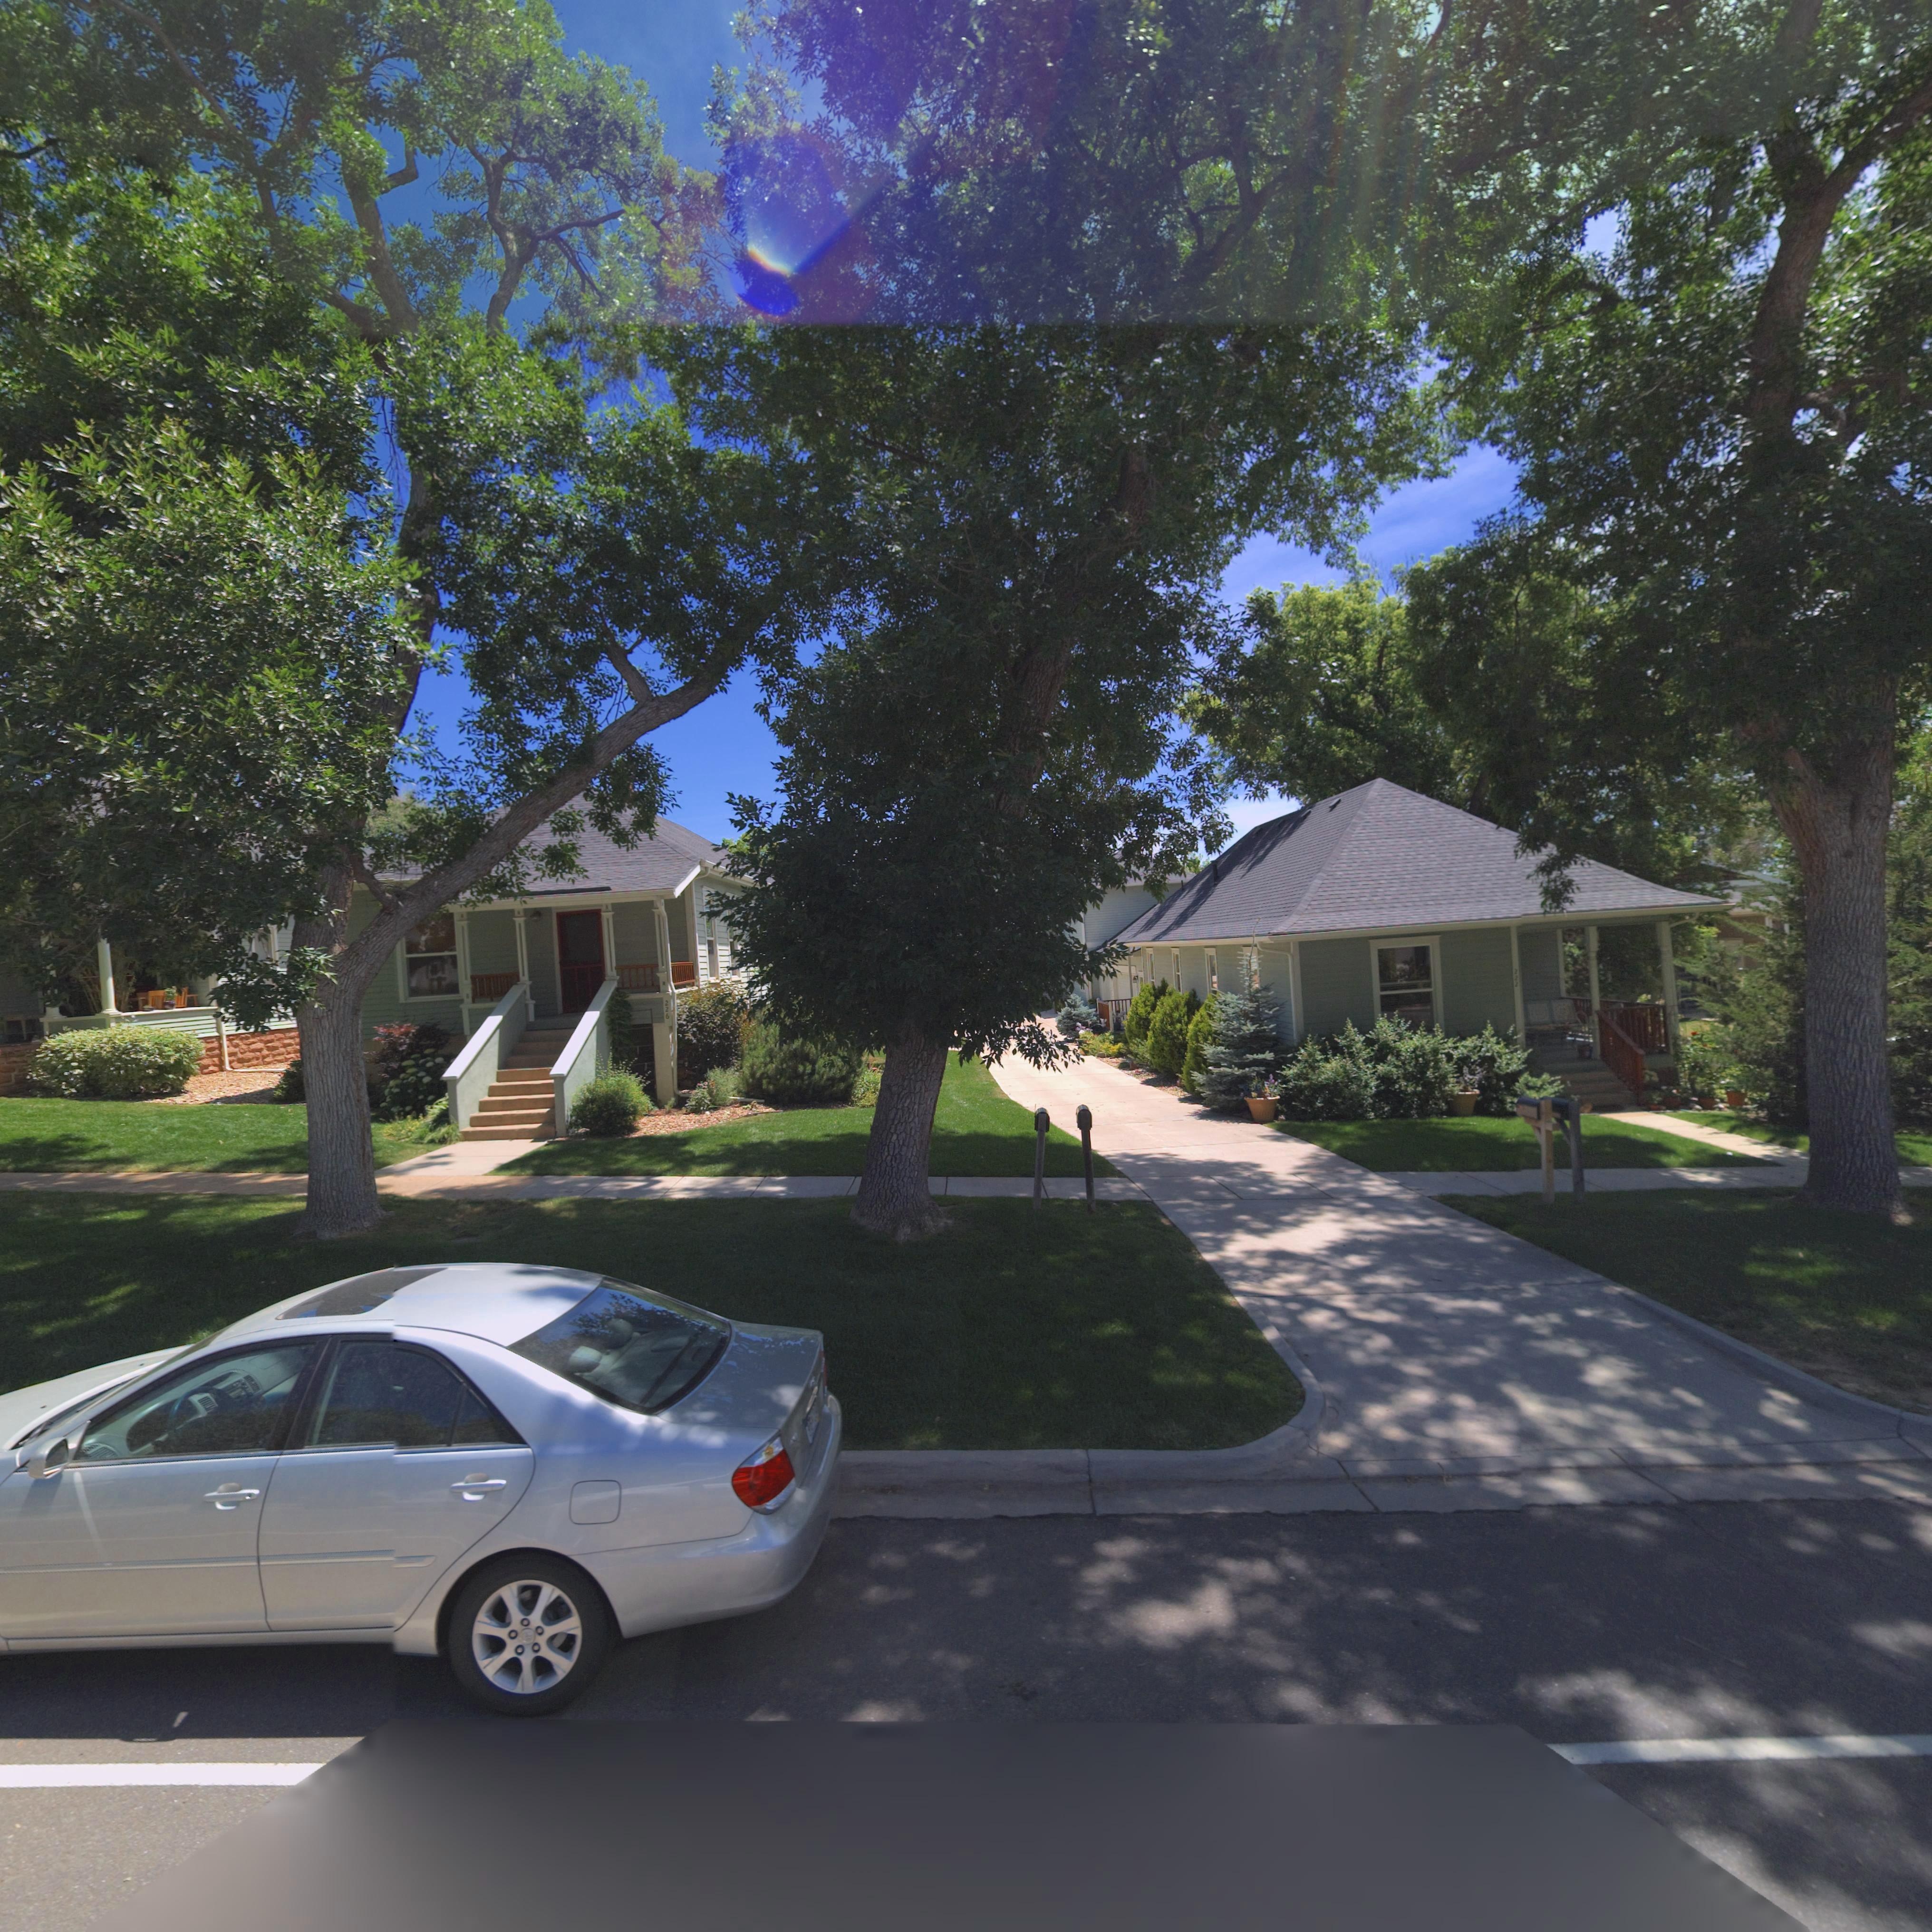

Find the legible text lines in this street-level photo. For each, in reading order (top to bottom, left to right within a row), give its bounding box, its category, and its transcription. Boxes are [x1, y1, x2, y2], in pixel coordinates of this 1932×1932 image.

[1513, 968, 1519, 987] StreetNumber: 222
[665, 1000, 669, 1020] StreetNumber: 226